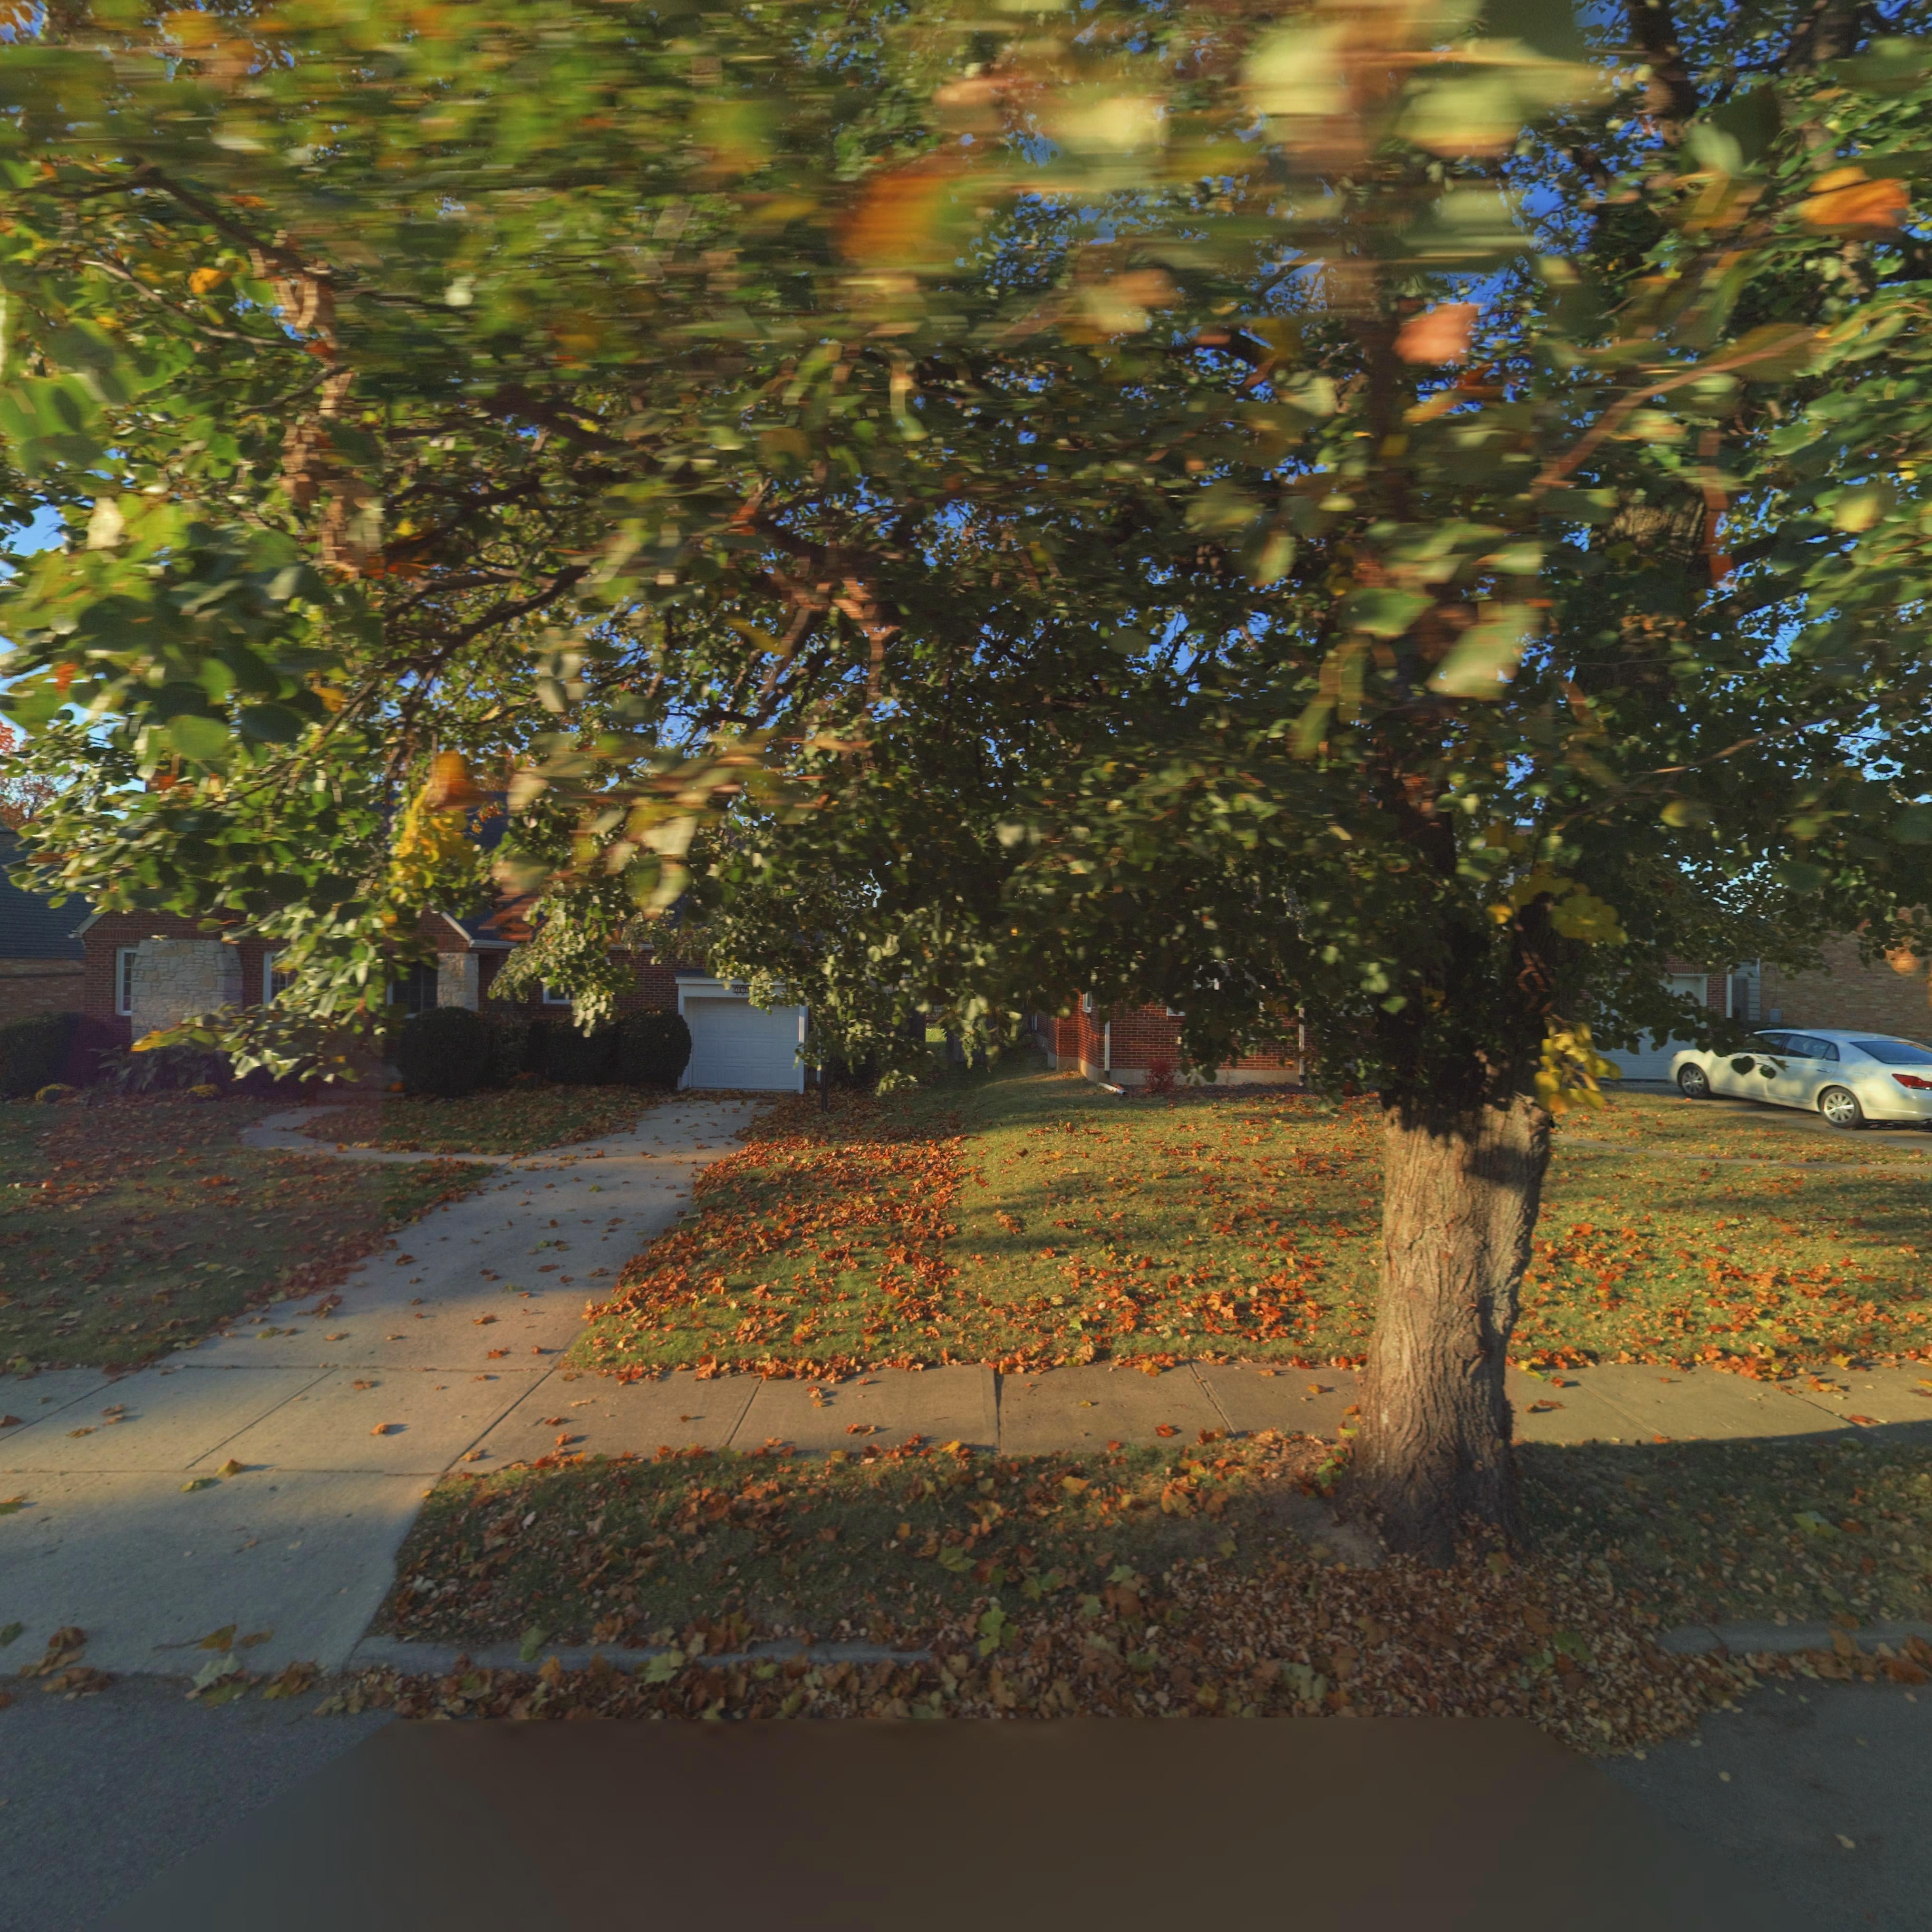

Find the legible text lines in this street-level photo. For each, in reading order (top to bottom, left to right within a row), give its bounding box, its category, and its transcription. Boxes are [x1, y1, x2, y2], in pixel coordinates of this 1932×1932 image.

[736, 988, 750, 992] StreetNumber: 1**